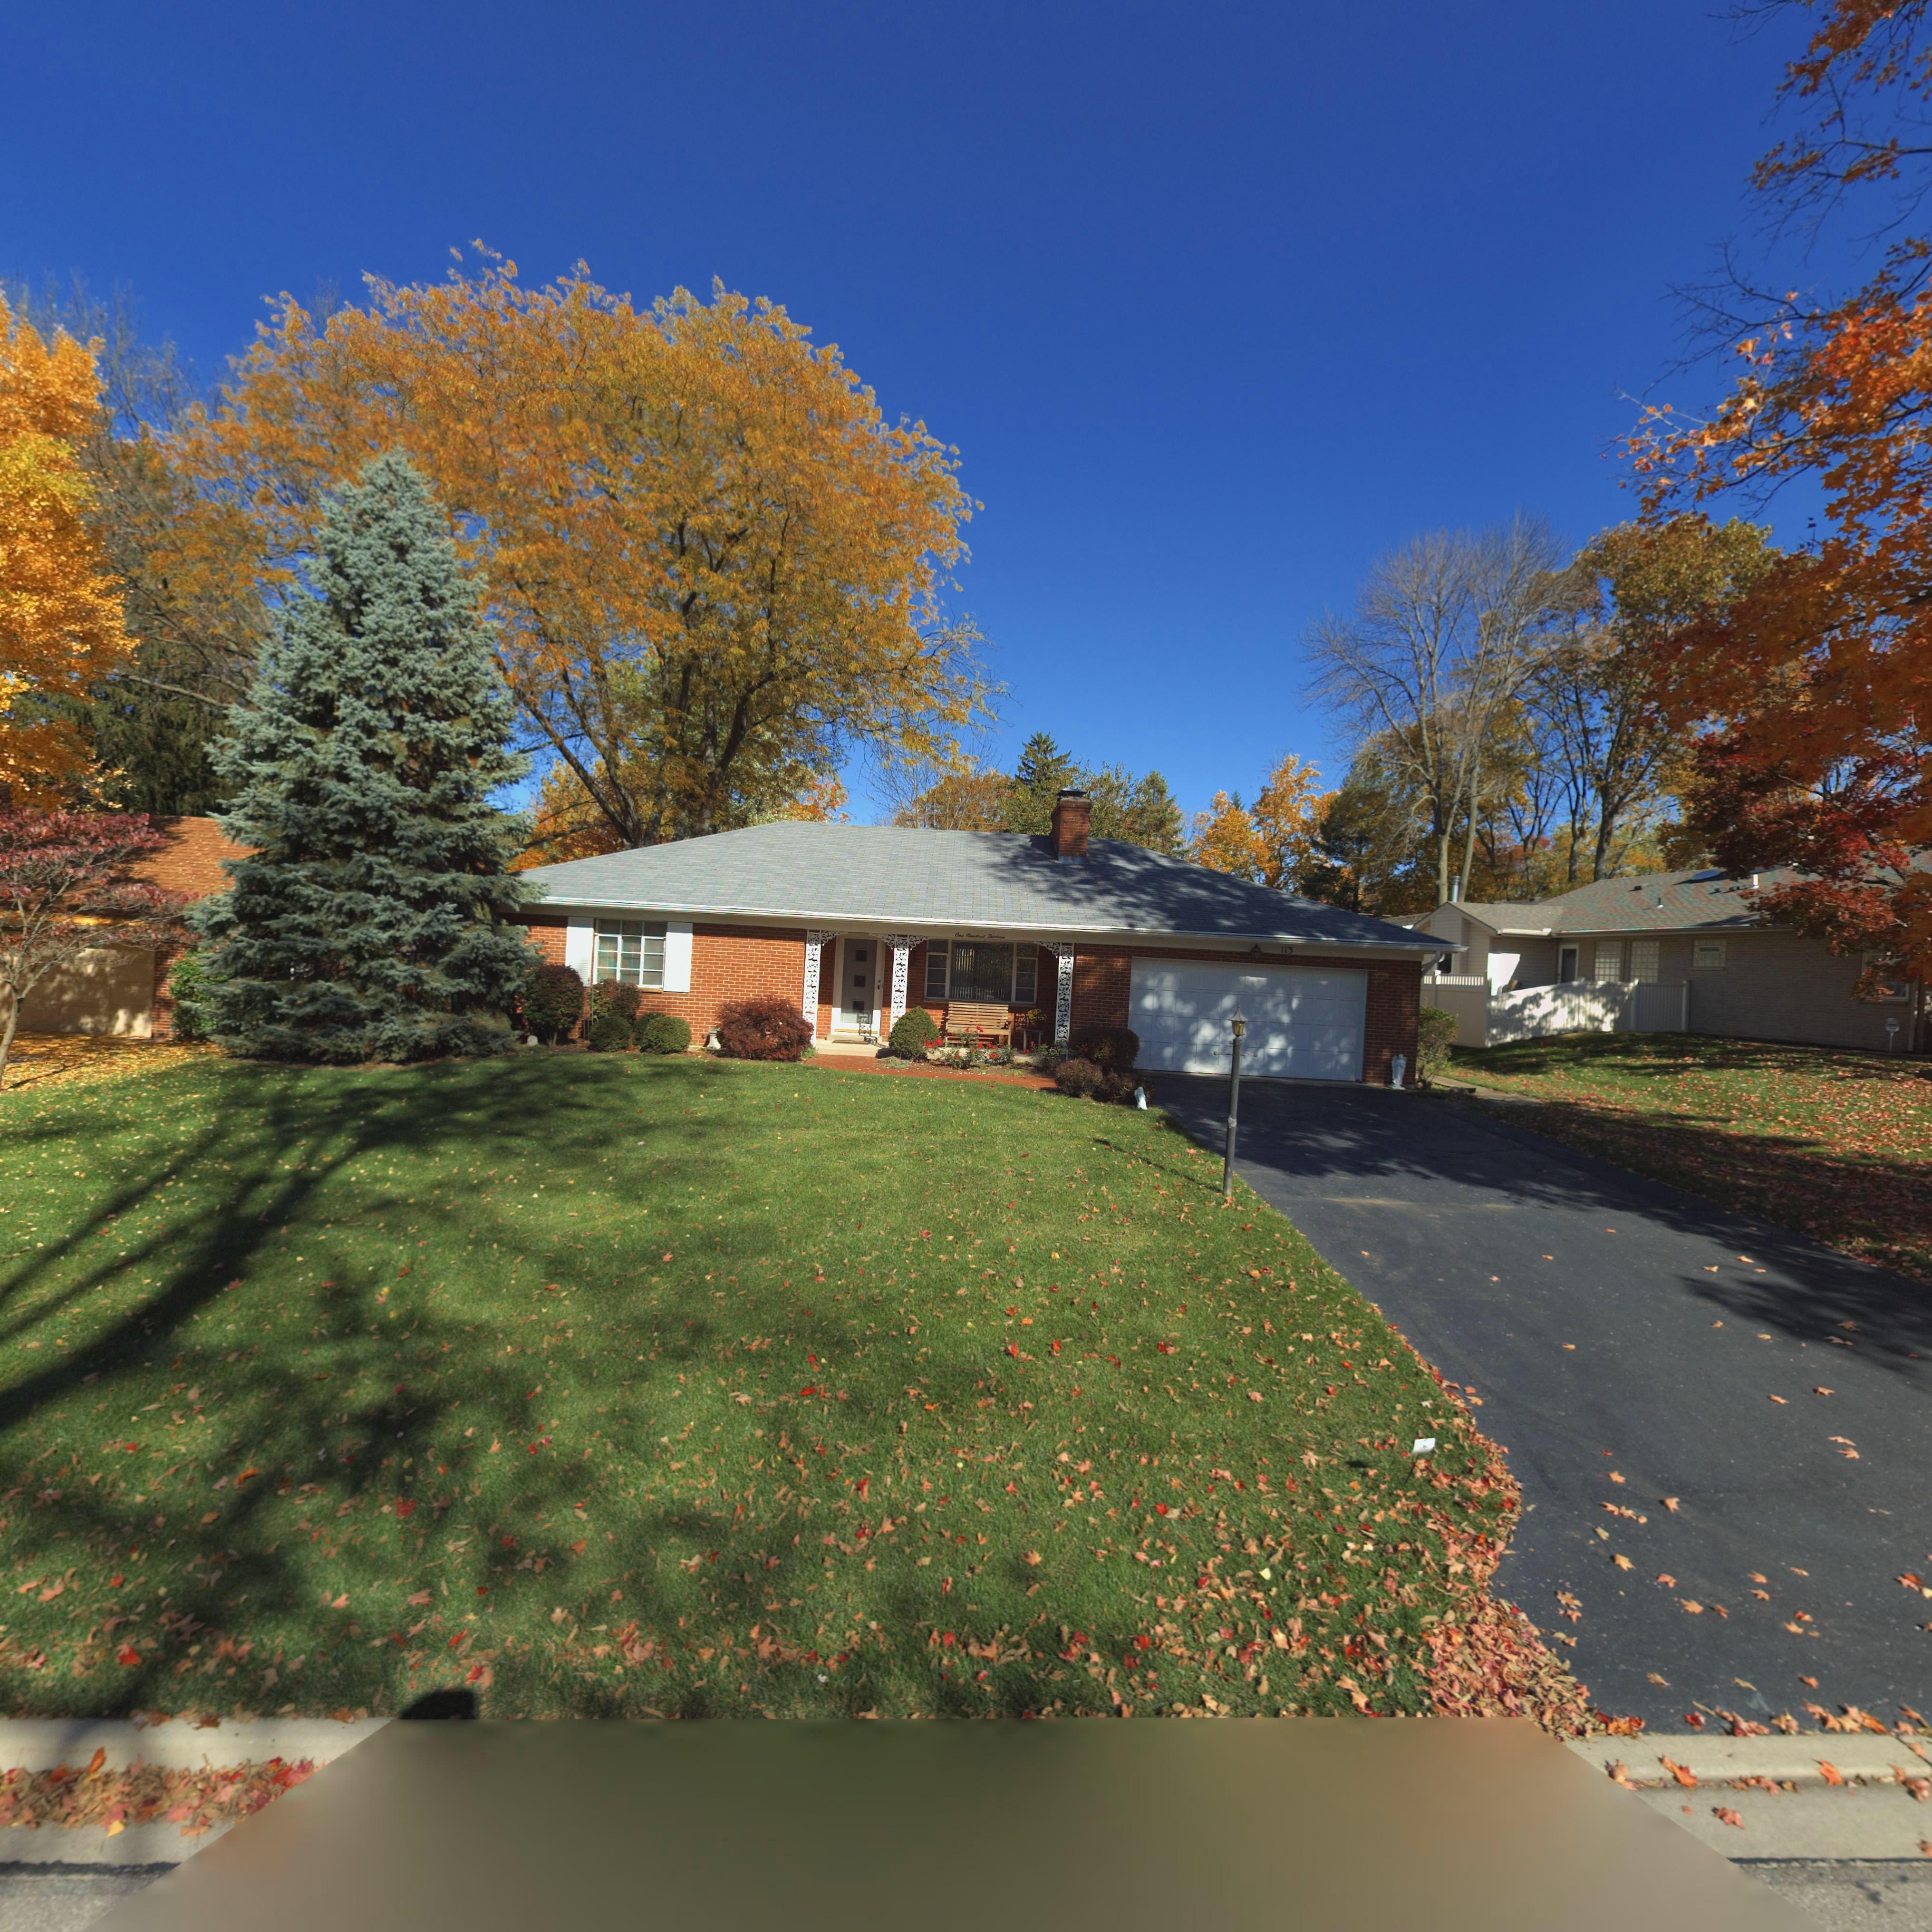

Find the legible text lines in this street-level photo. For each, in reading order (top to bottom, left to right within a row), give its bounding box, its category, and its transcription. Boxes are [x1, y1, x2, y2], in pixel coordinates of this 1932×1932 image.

[955, 931, 1005, 939] StreetNumber: One Hundred Thirteen
[1280, 945, 1293, 955] StreetNumber: 113